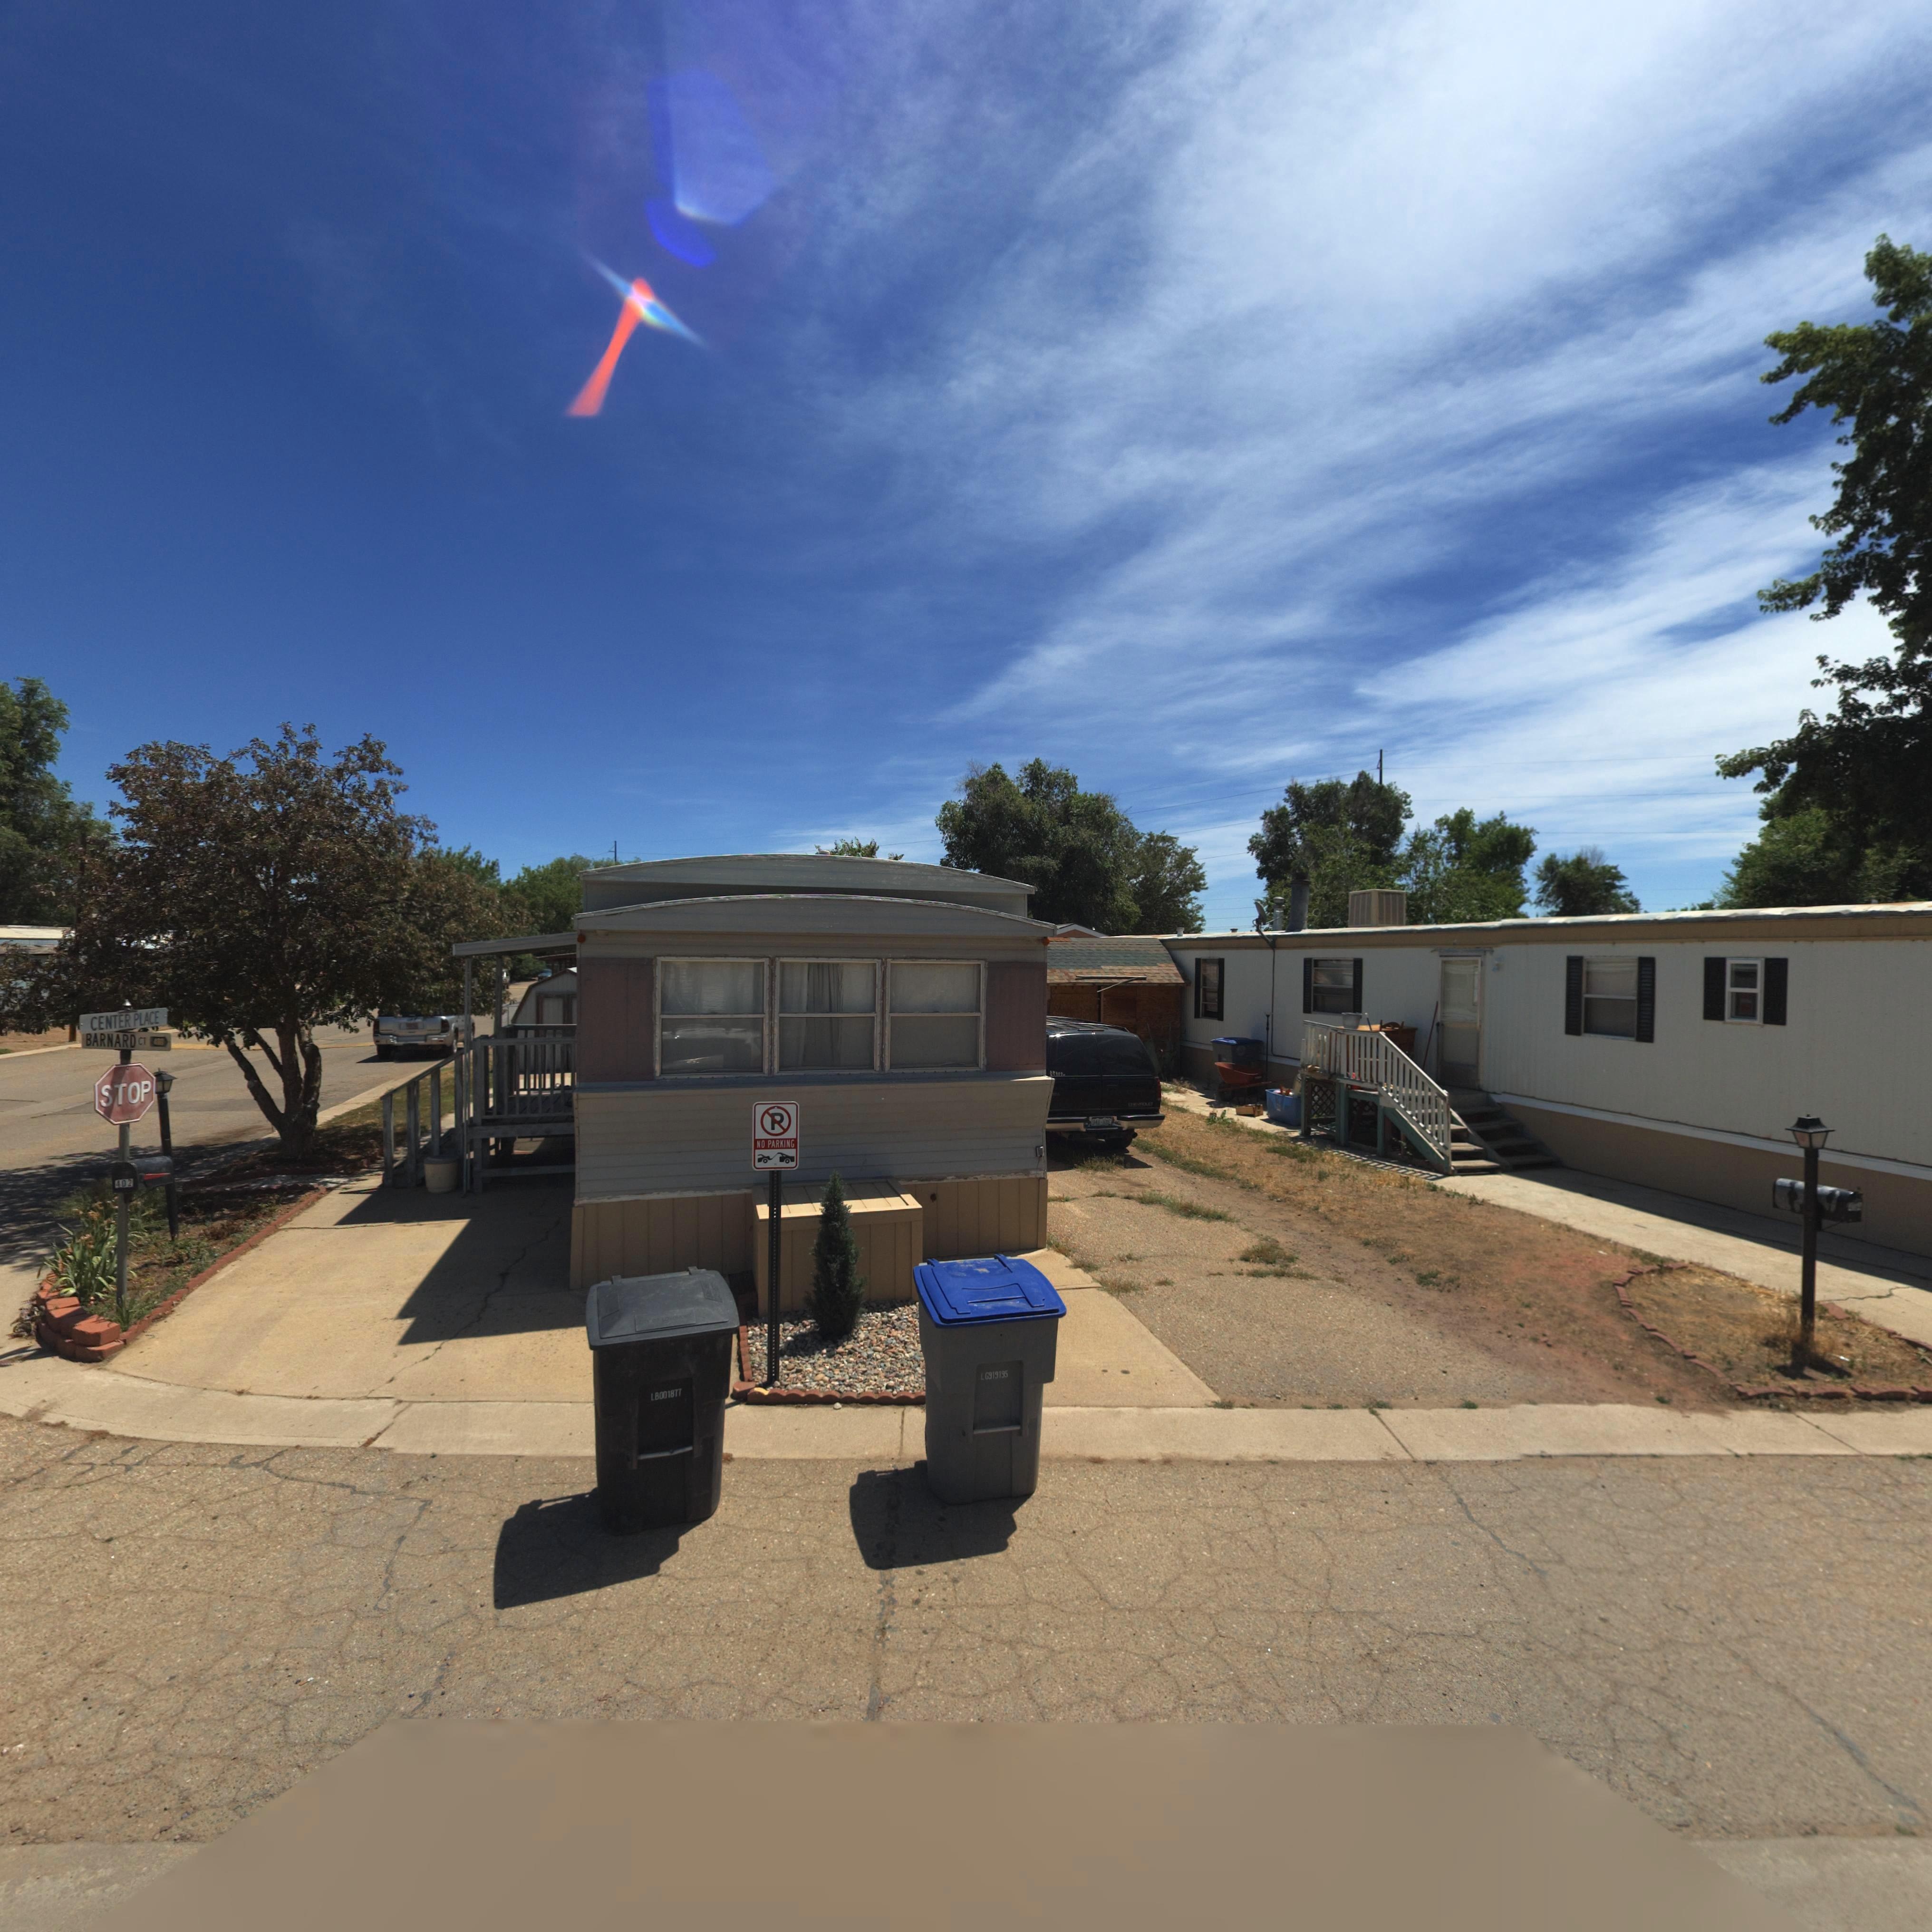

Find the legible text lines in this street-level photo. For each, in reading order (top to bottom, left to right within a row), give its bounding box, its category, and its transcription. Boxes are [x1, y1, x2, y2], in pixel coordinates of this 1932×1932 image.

[90, 1010, 159, 1031] StreetName: CENTER PLACE
[85, 1033, 146, 1048] StreetName: BARNARD CT
[152, 1037, 164, 1045] StreetNumberRange: 4**
[115, 1179, 132, 1187] StreetNumber: 402